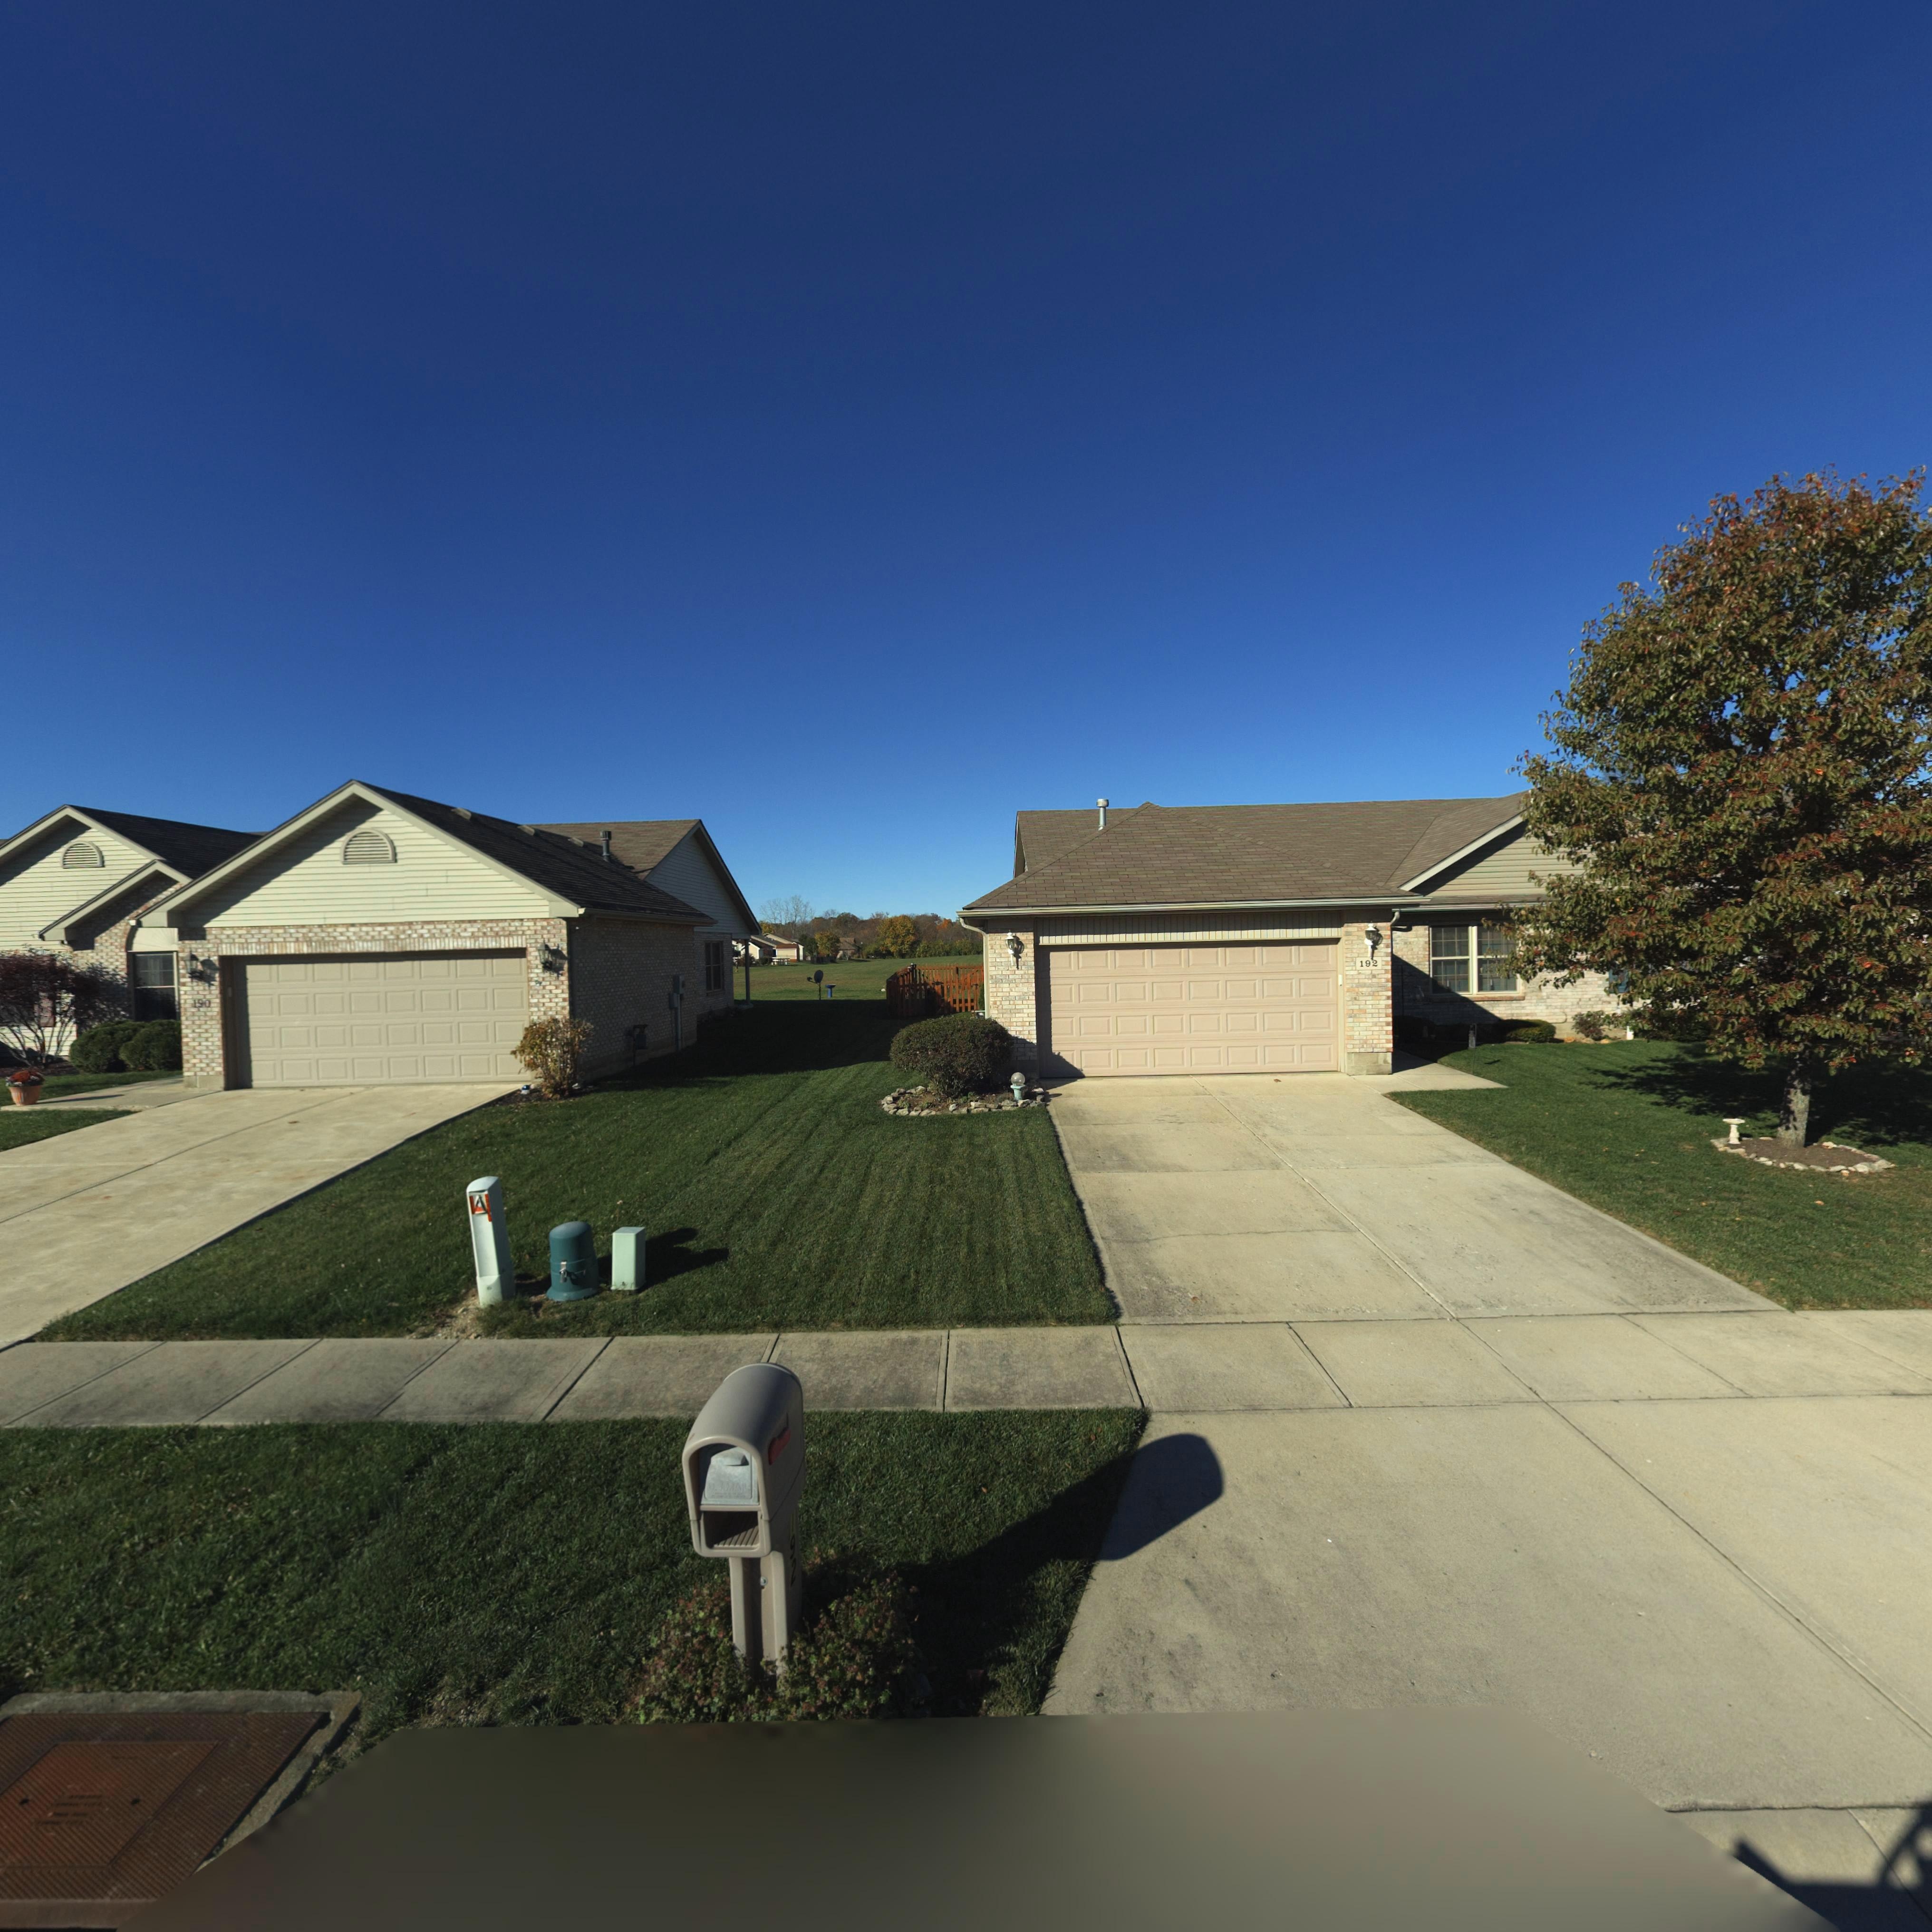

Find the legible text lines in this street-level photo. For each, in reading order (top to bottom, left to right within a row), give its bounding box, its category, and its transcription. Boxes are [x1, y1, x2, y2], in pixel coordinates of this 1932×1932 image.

[1358, 958, 1380, 968] StreetNumber: 192
[192, 998, 212, 1009] StreetNumber: 190